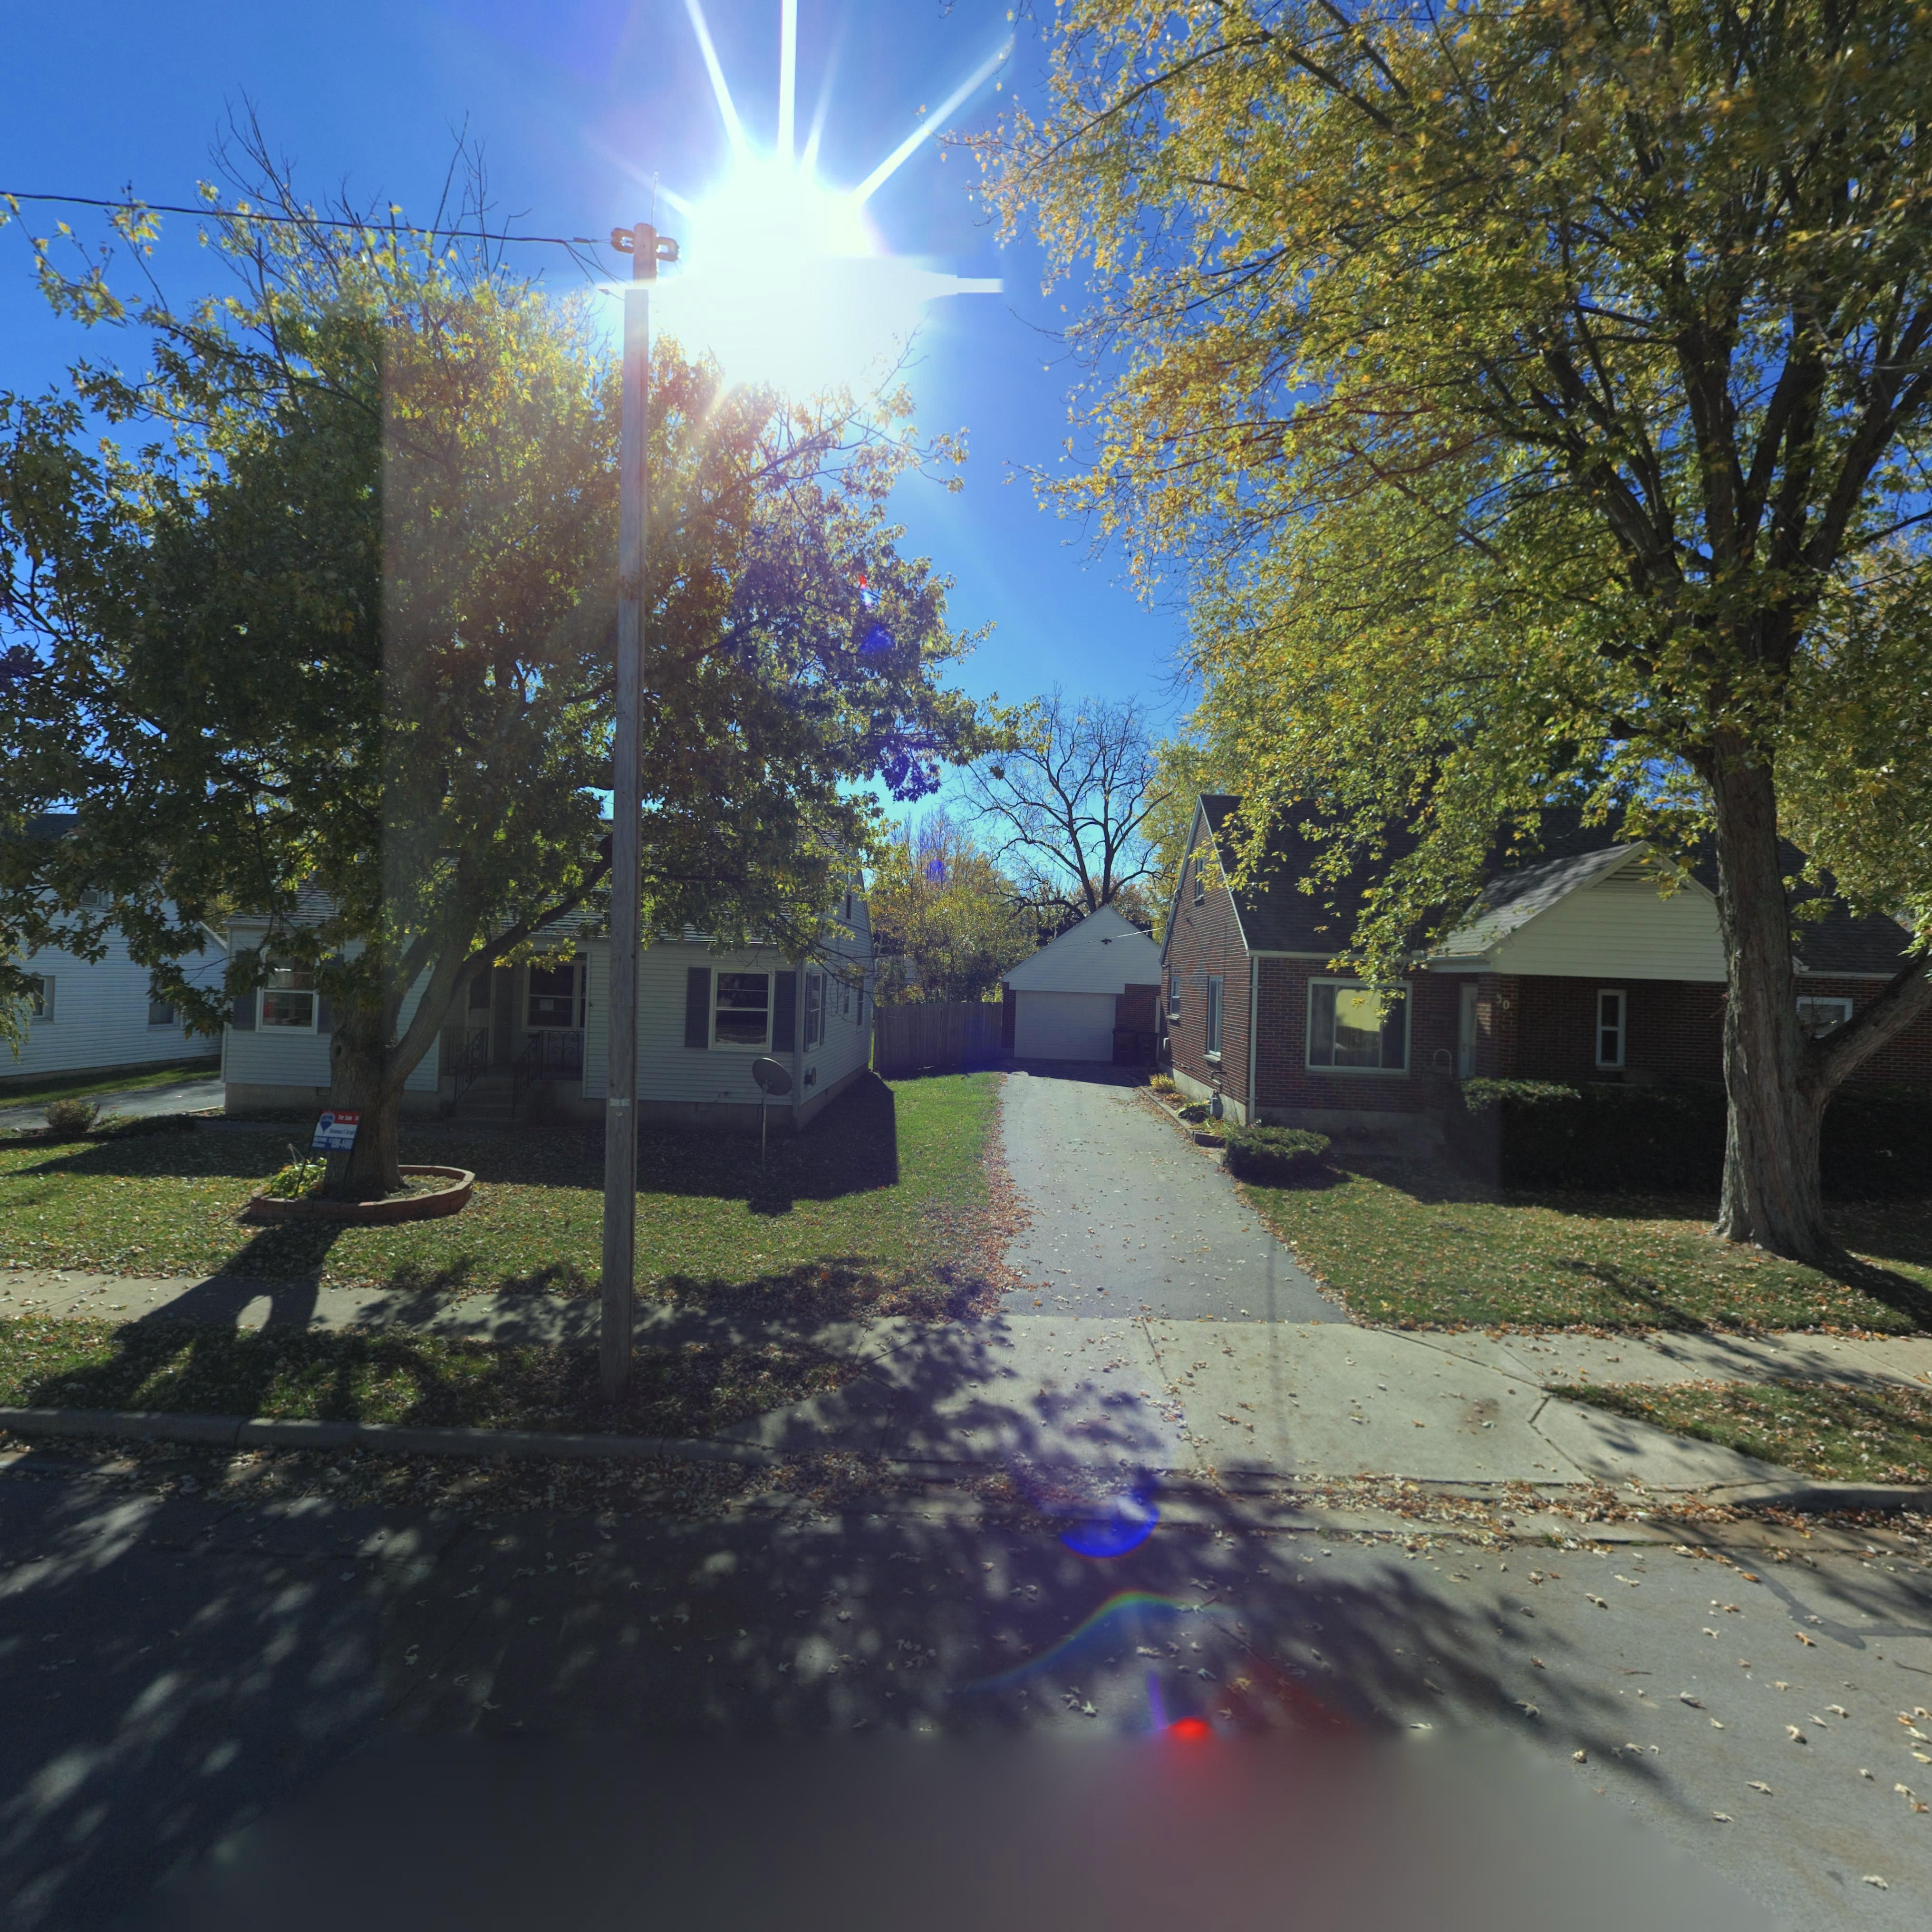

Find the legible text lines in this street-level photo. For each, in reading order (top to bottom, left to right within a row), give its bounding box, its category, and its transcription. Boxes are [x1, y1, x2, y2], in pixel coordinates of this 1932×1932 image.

[1494, 993, 1511, 1012] StreetNumber: 30